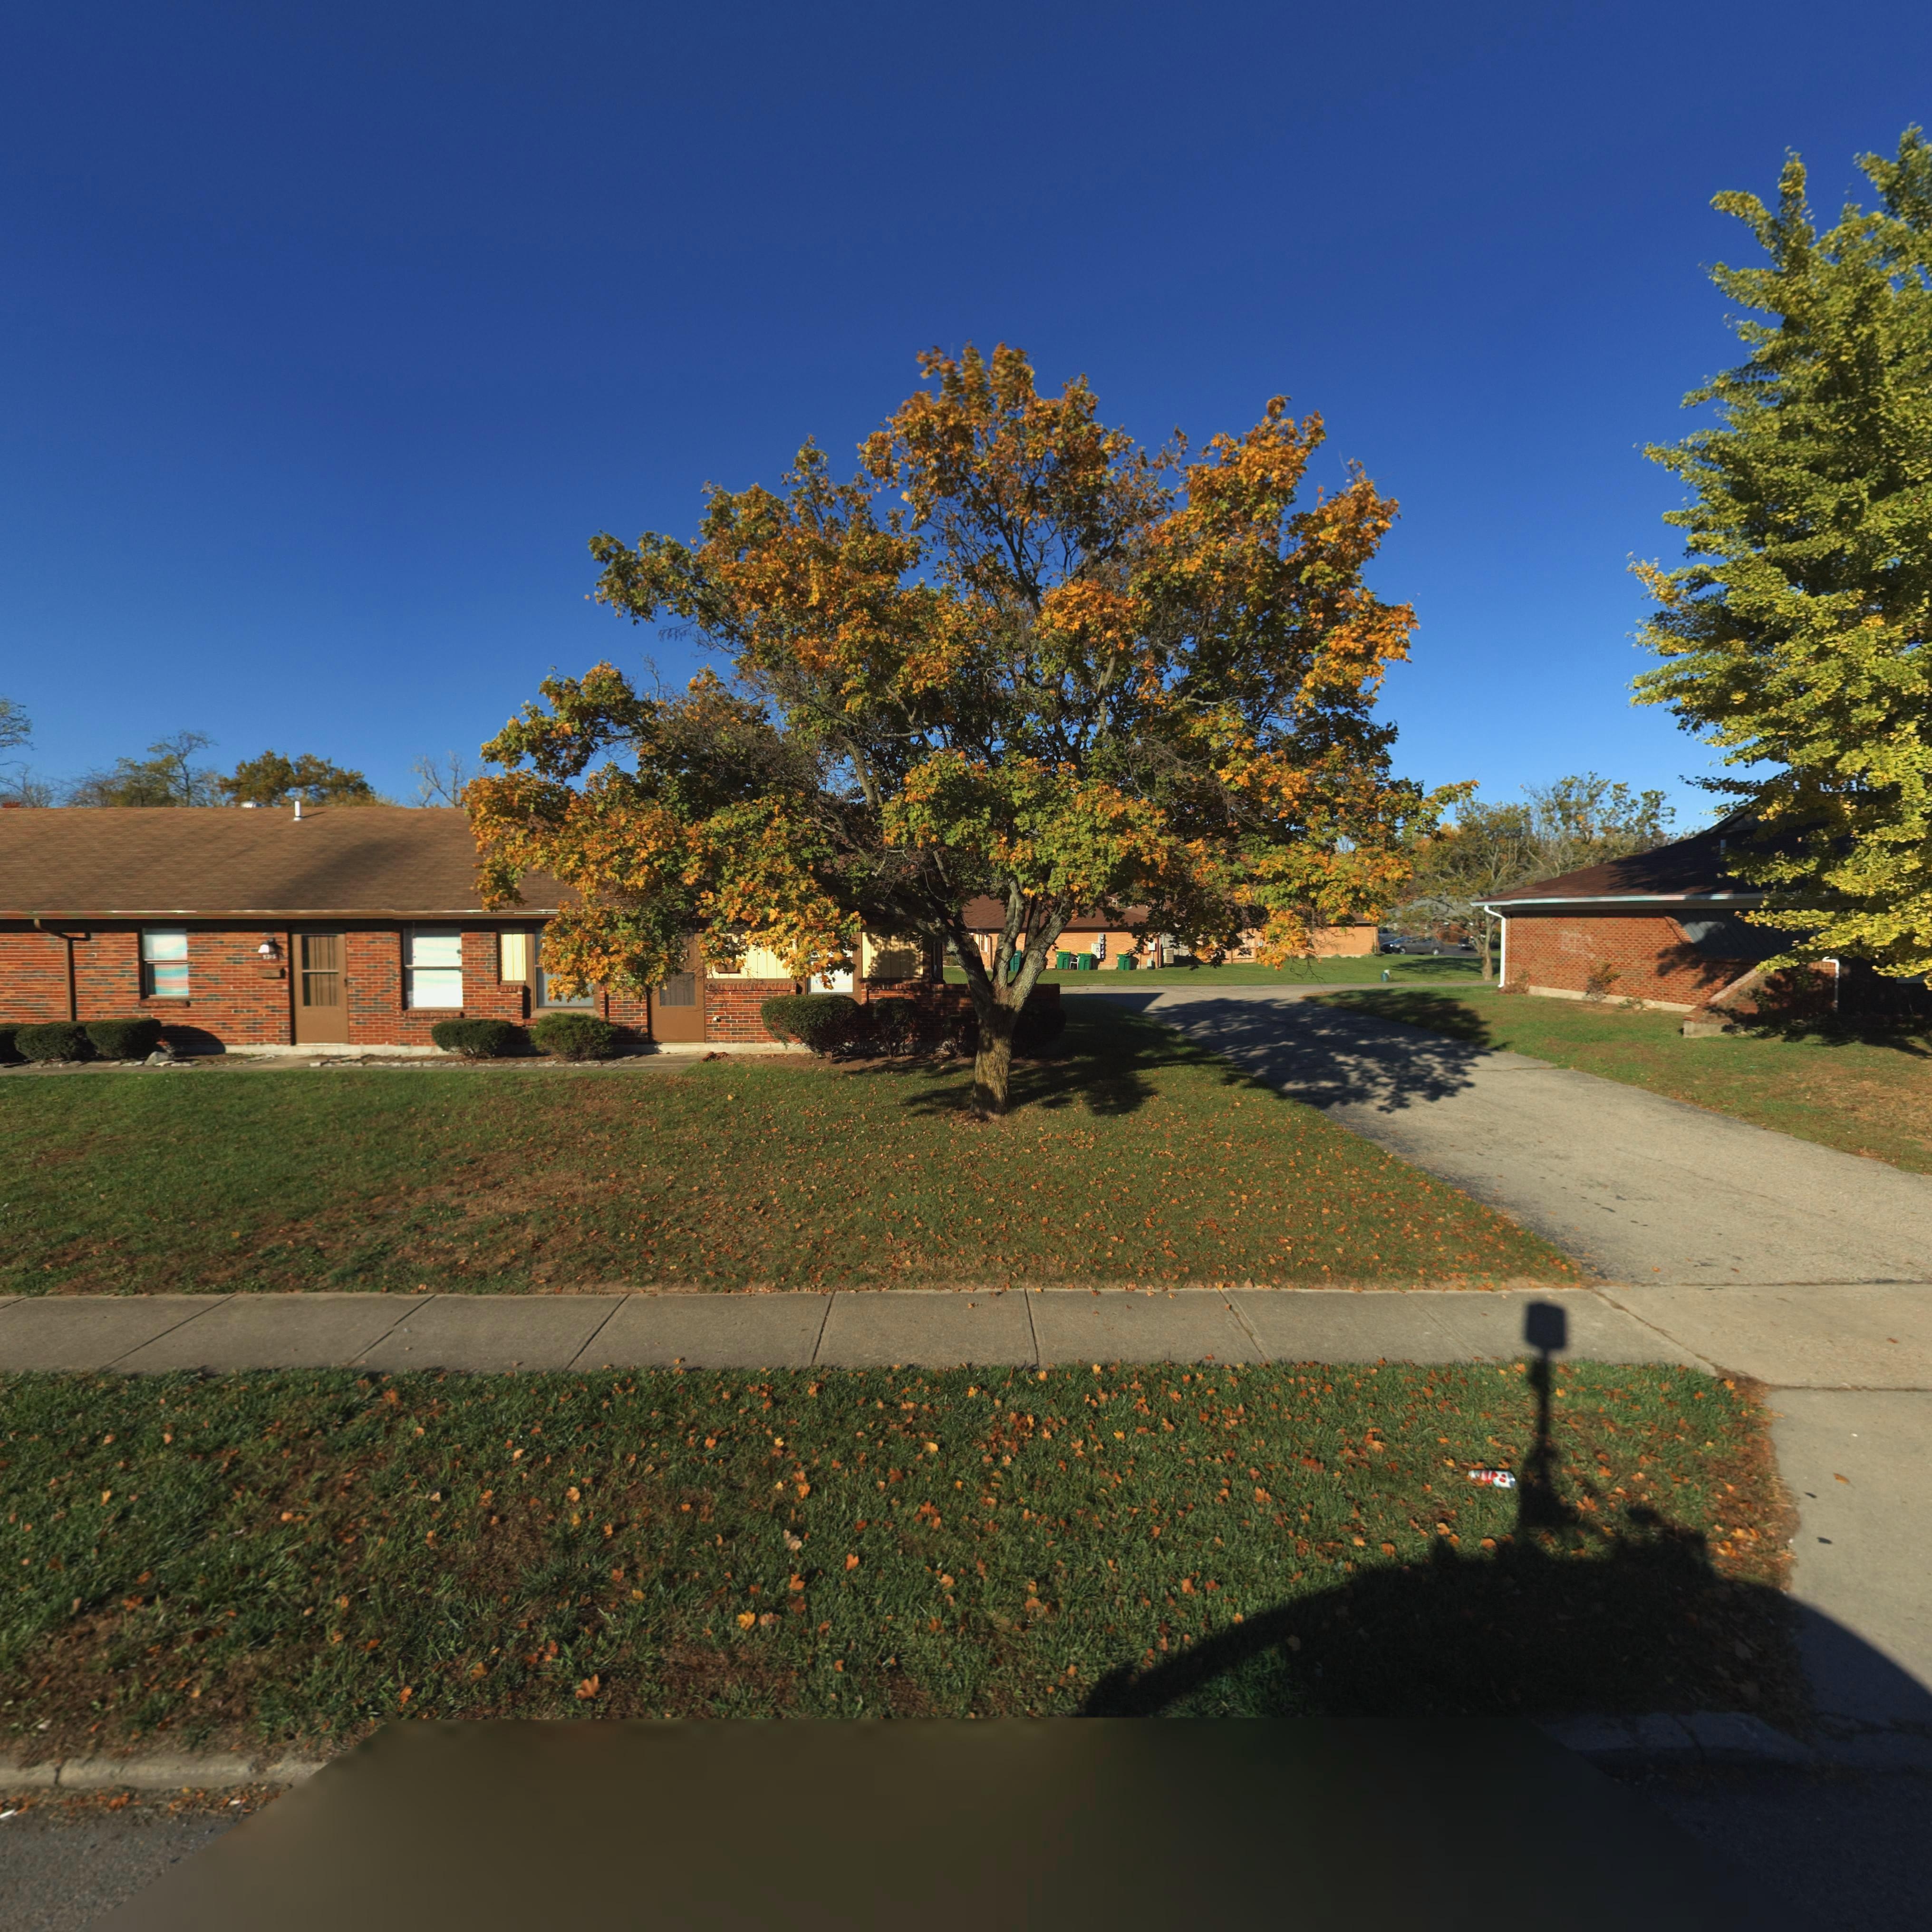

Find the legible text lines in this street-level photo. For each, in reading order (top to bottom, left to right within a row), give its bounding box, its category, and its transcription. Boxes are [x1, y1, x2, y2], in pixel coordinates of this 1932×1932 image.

[261, 953, 278, 960] StreetNumber: 5315